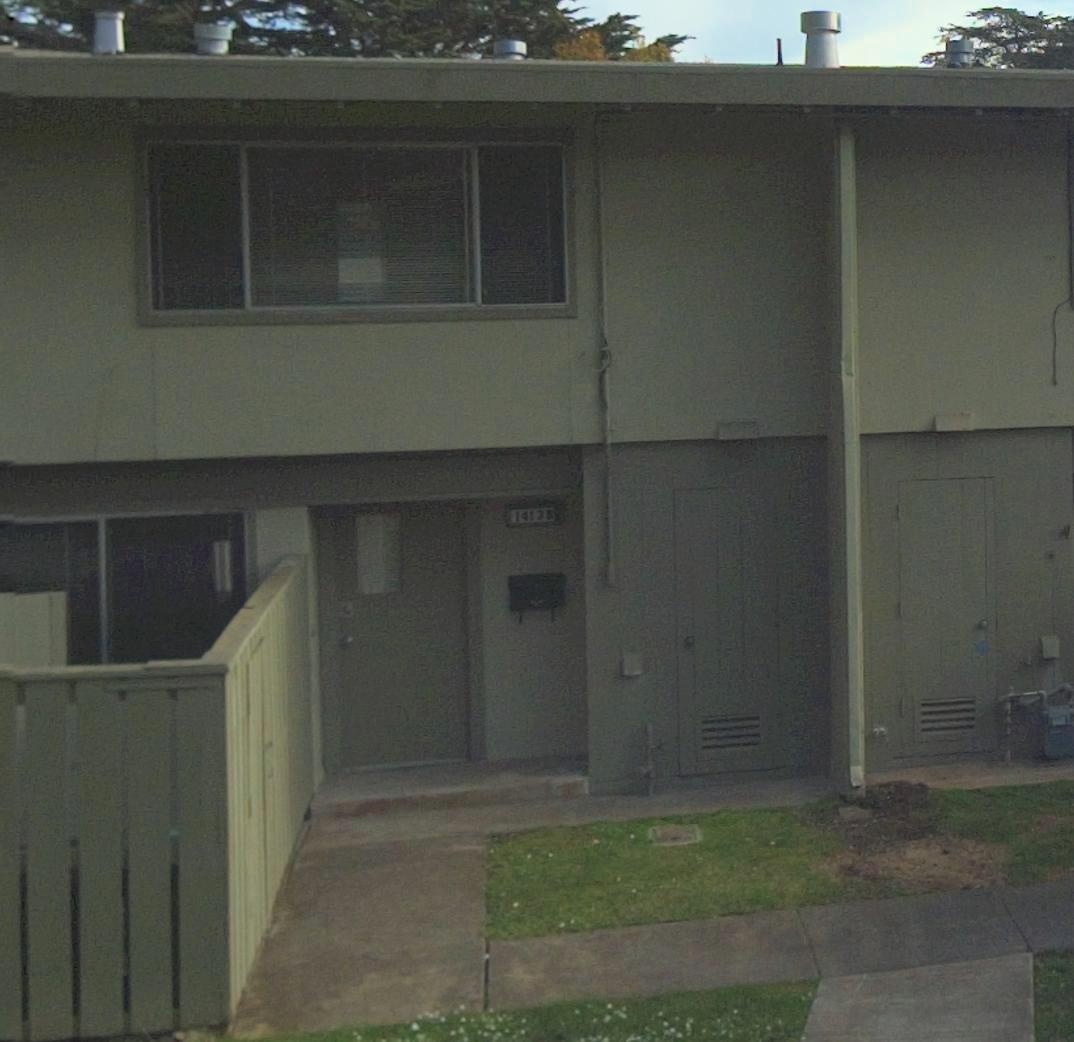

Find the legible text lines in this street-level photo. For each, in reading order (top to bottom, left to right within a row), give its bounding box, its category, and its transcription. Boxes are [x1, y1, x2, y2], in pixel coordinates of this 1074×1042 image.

[513, 508, 555, 523] StreetNumber: 1413B